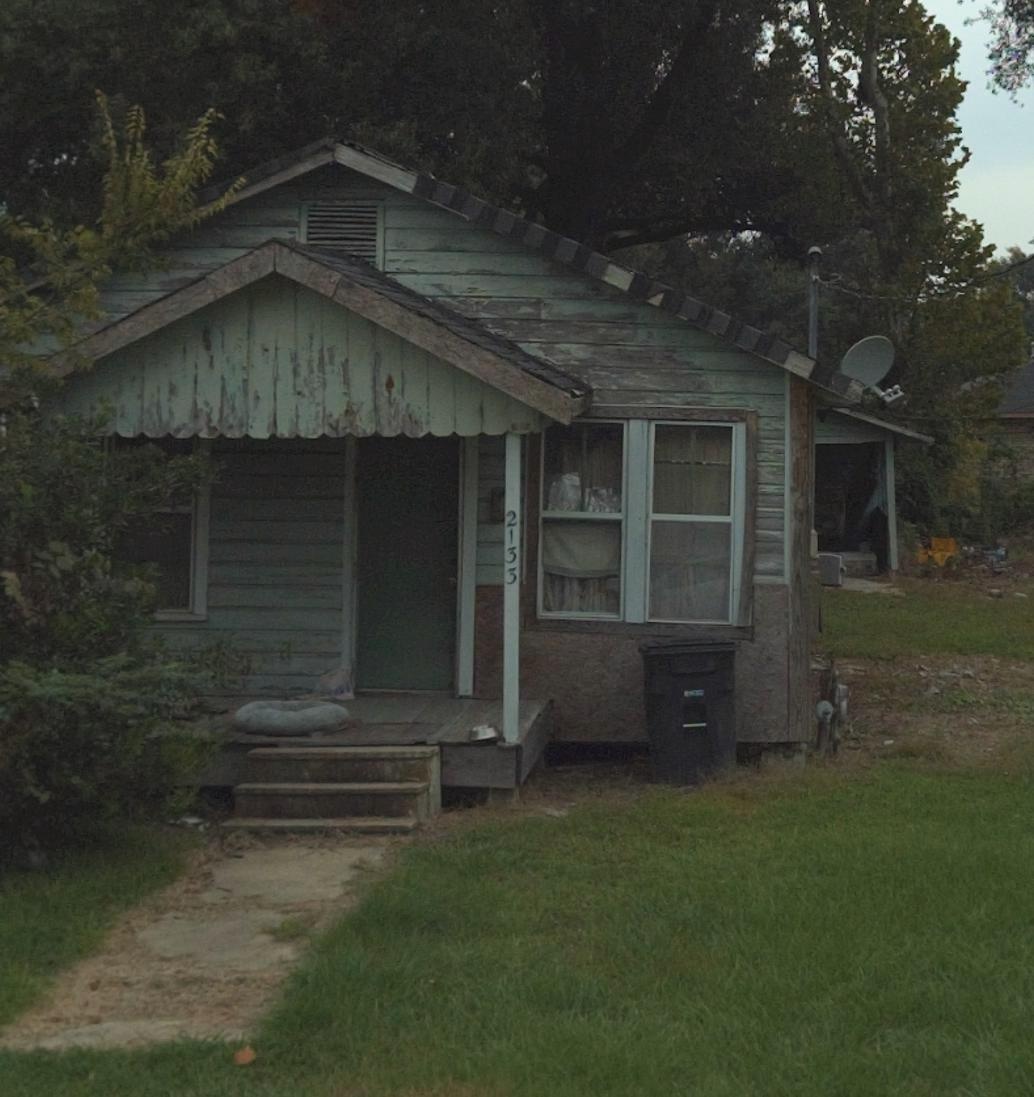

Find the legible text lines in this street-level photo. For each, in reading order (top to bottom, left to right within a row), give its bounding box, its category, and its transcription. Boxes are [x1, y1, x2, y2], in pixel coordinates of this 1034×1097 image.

[505, 509, 518, 585] StreetNumber: 2135